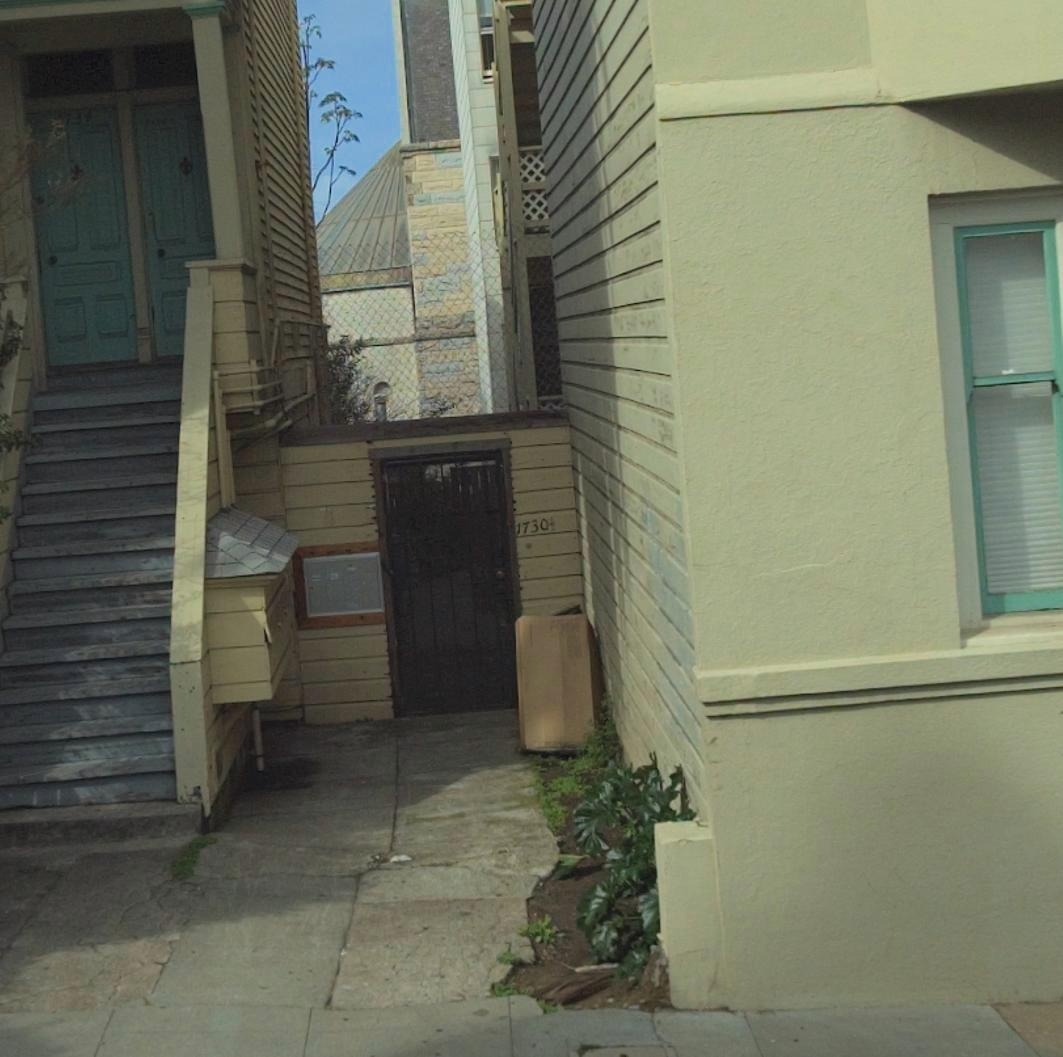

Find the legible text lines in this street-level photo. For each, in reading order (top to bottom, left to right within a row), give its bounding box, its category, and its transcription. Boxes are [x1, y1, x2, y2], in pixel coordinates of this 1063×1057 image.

[62, 107, 96, 128] StreetNumber: *34
[514, 514, 559, 538] StreetNumber: 1730 1/2